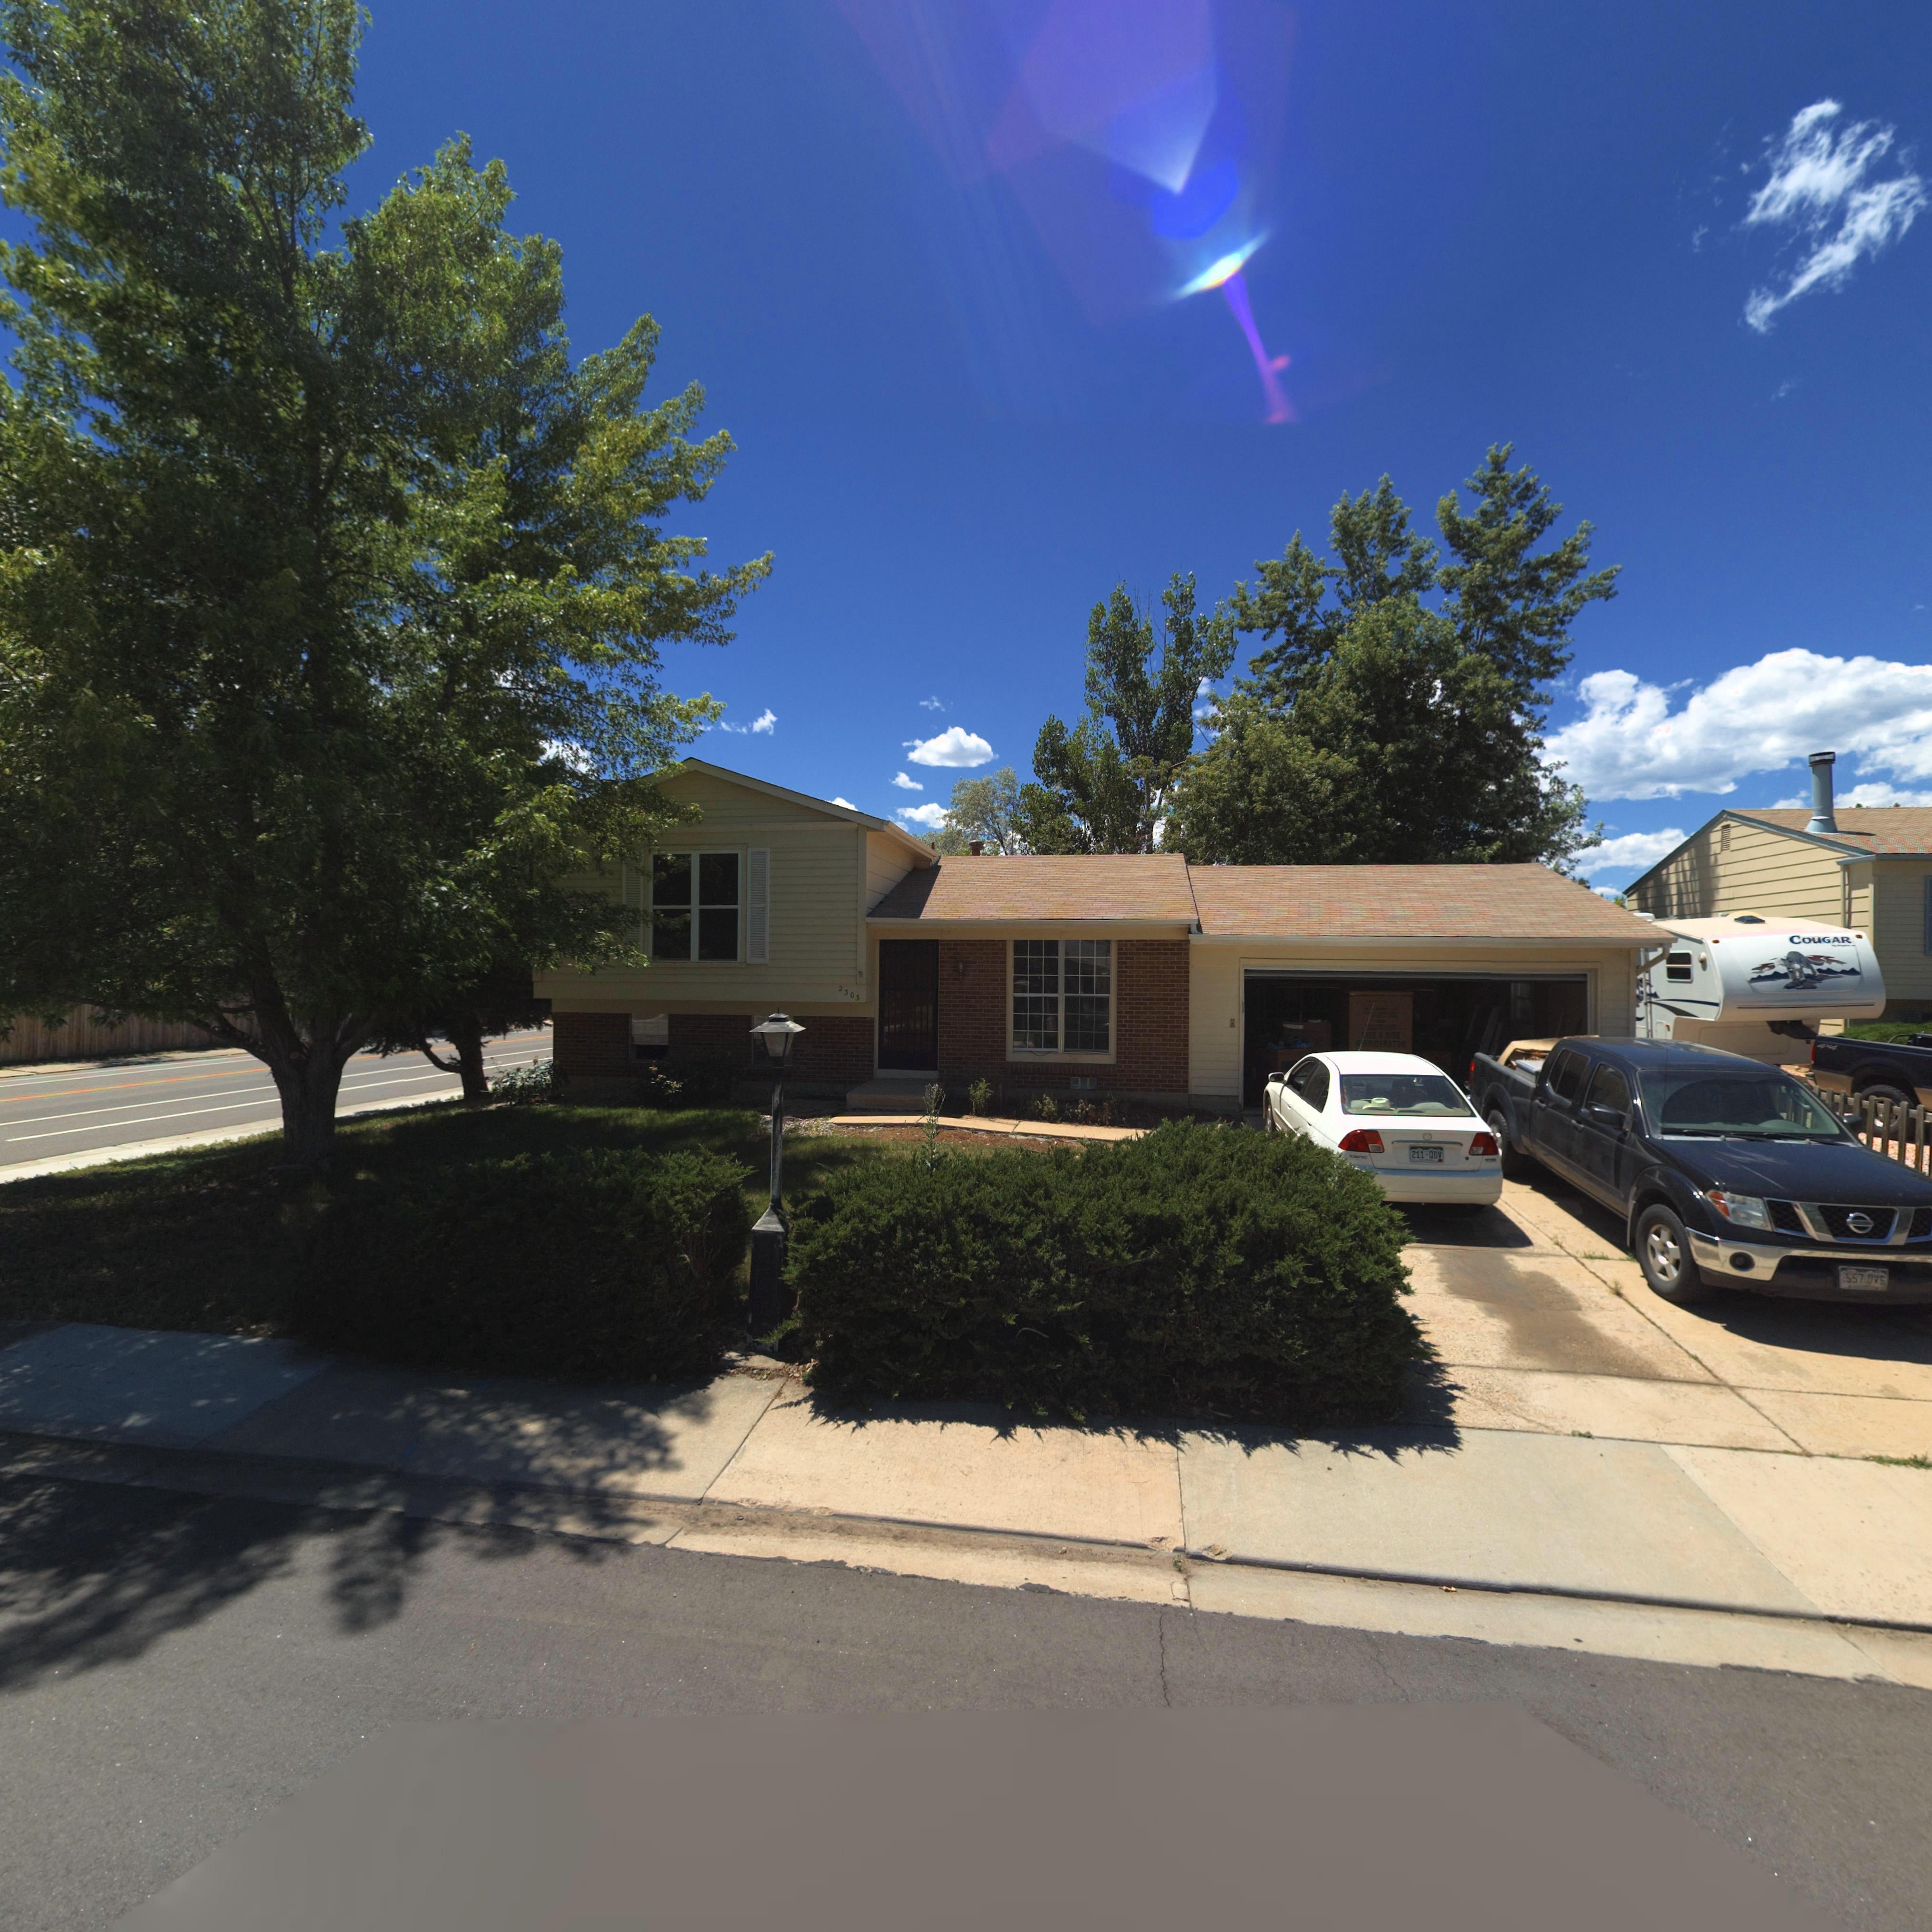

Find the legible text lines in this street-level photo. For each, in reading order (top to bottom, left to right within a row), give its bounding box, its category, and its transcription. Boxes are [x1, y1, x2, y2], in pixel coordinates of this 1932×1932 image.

[838, 985, 860, 1001] StreetNumber: 2303